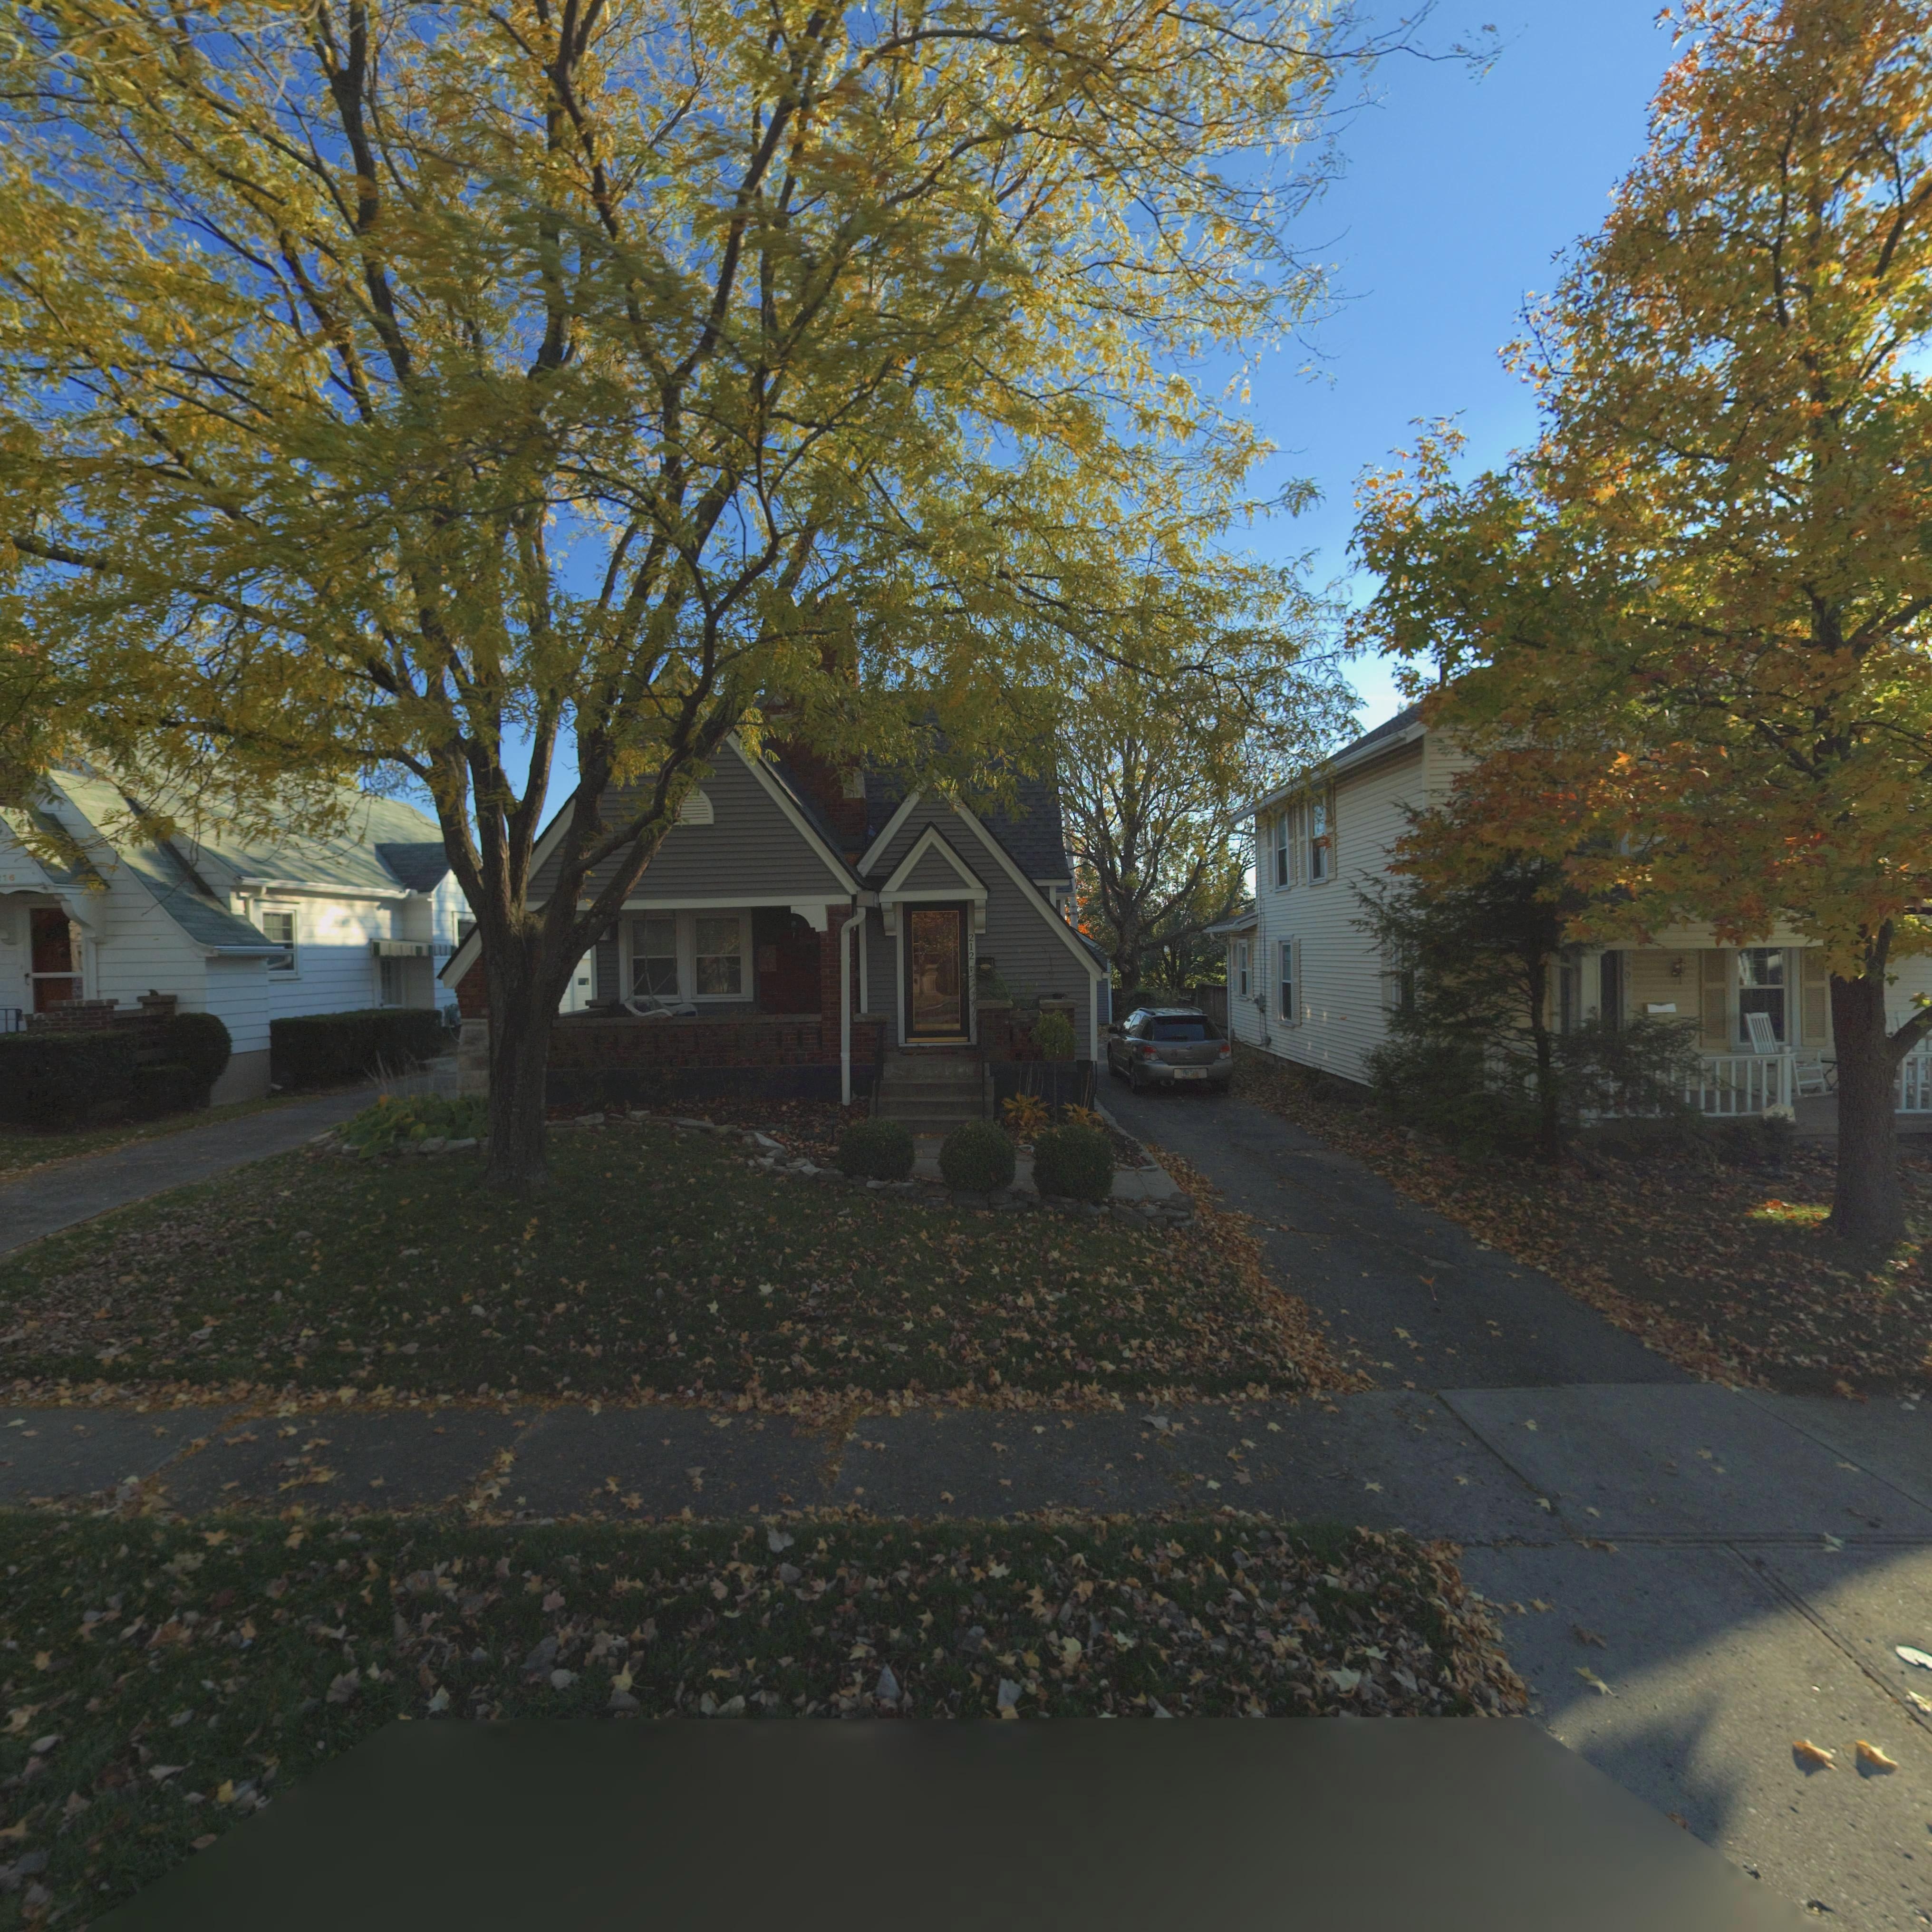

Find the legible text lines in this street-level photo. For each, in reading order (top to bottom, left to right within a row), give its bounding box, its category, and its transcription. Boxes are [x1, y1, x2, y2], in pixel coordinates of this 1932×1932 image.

[967, 932, 976, 960] StreetNumber: 212